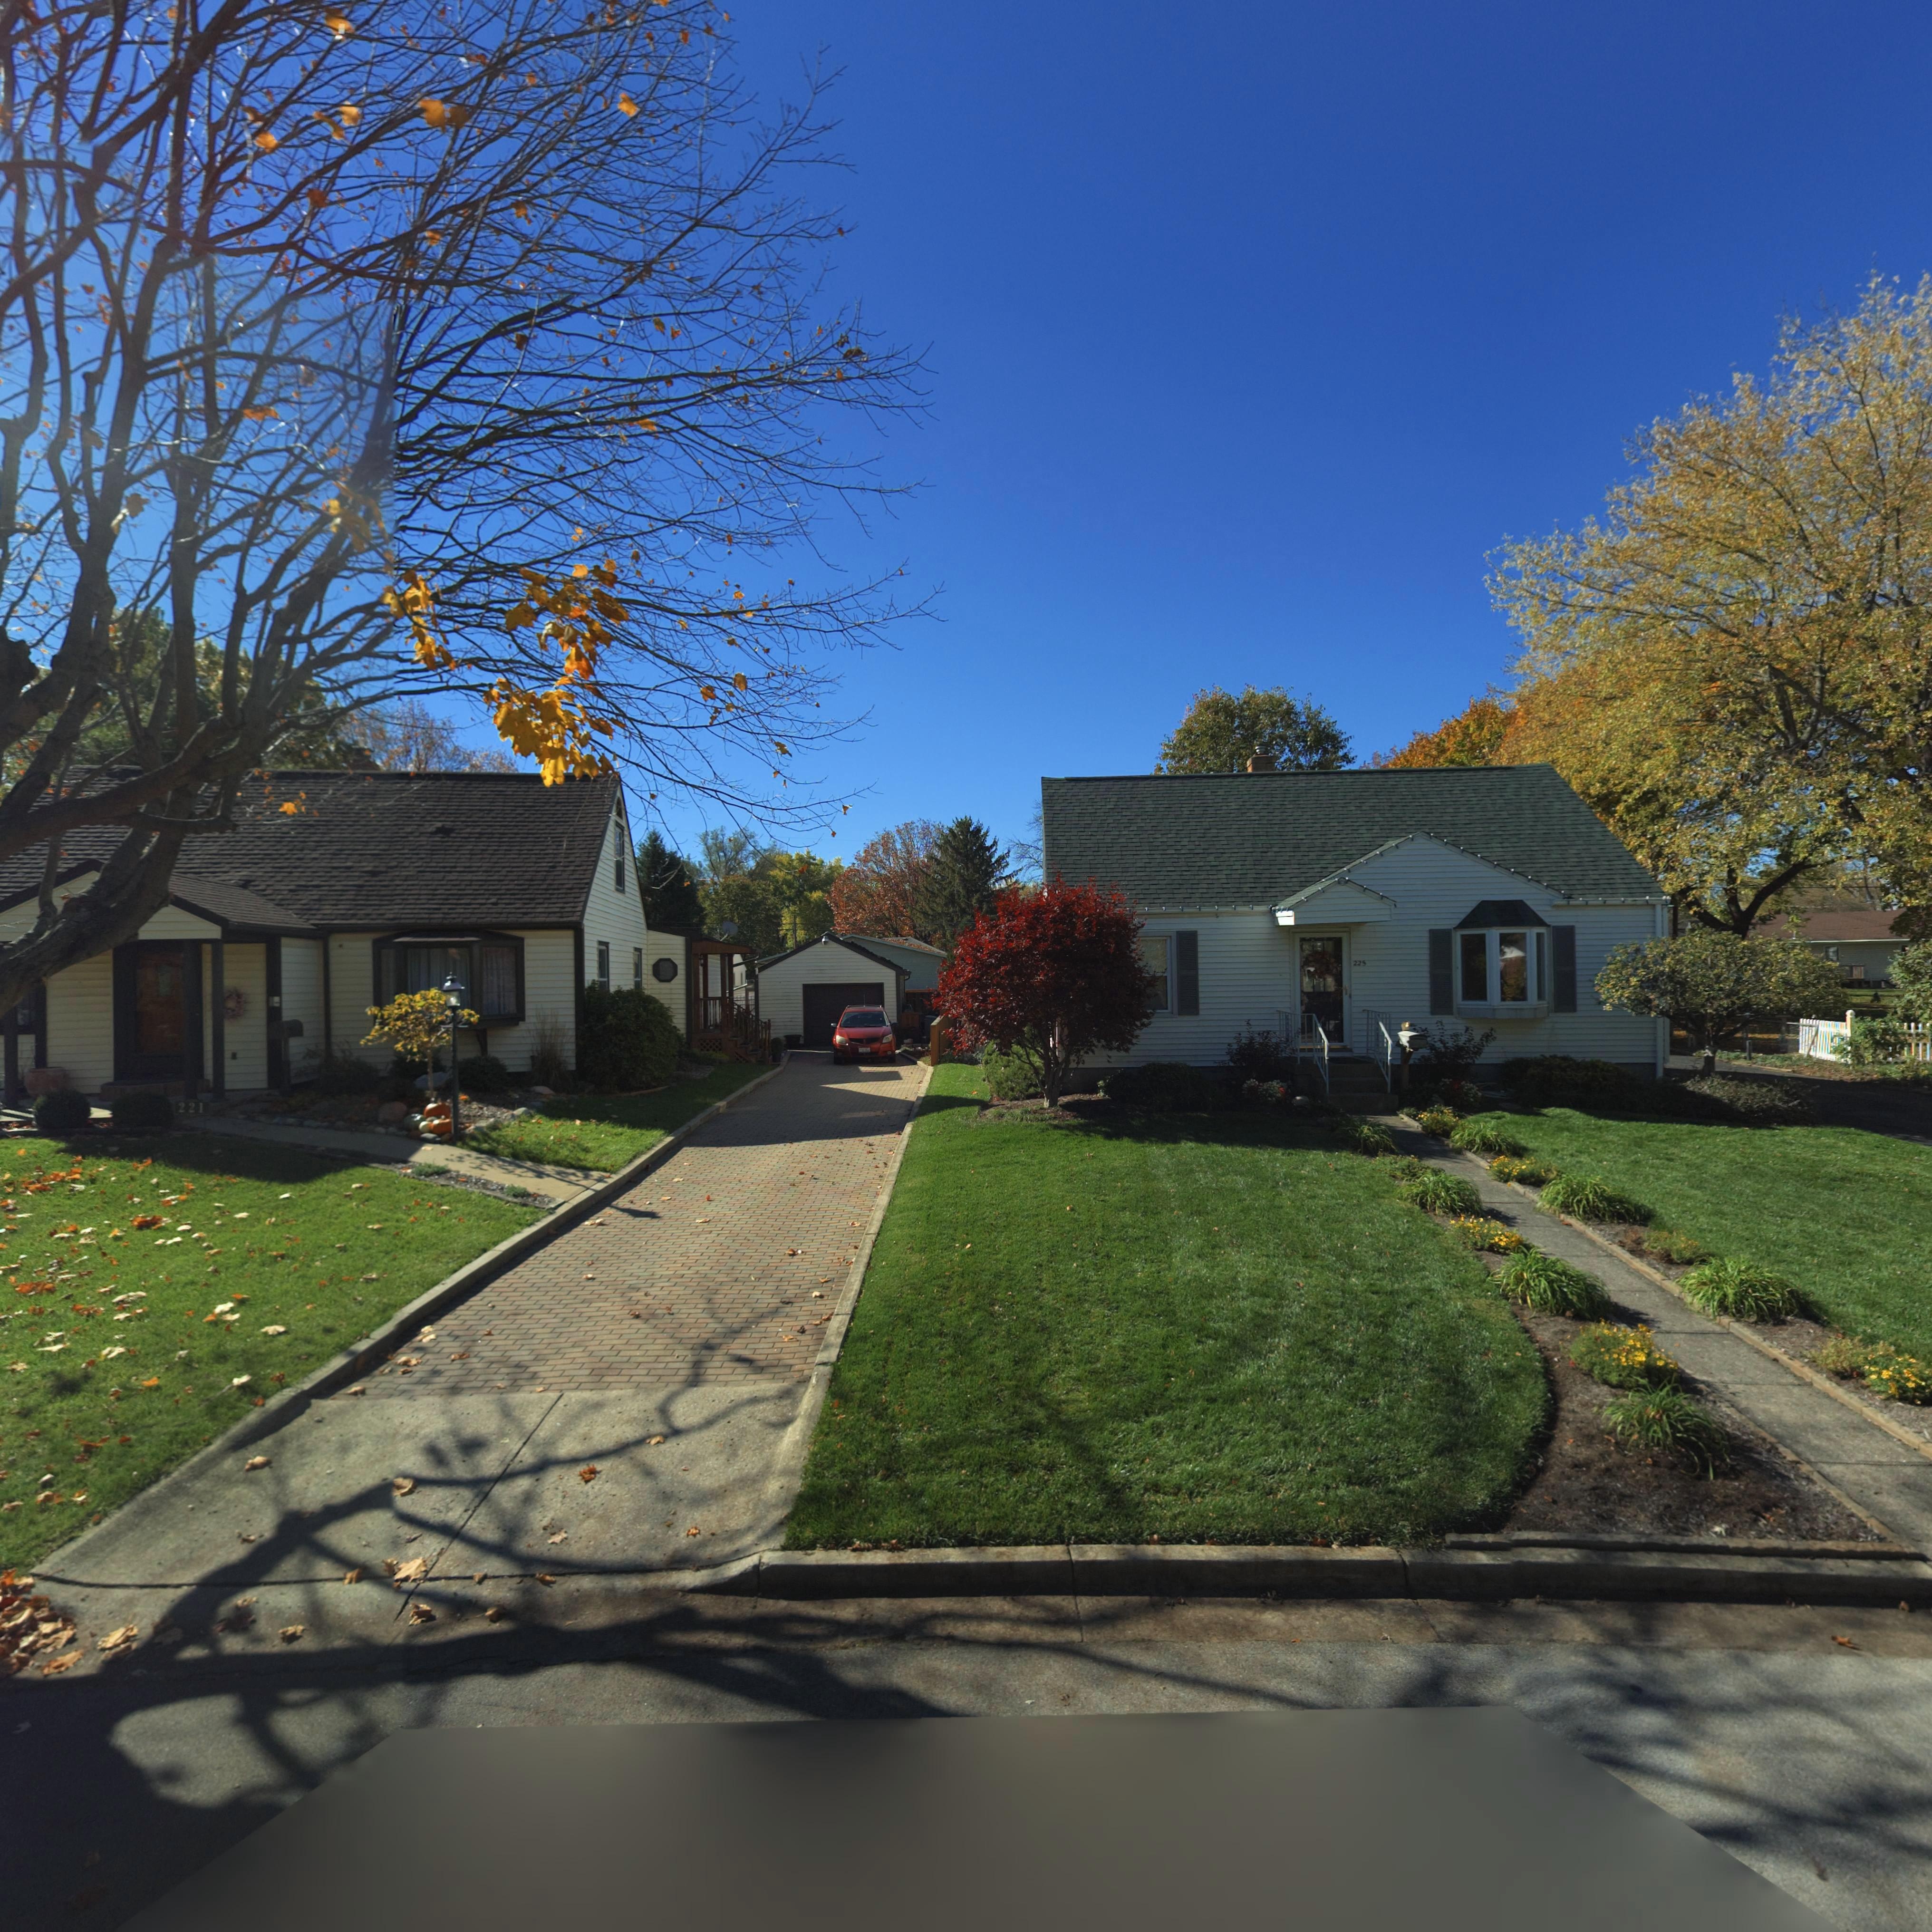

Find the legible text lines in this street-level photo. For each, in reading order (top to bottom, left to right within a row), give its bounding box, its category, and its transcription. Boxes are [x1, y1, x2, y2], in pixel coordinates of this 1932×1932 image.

[1352, 959, 1367, 967] StreetNumber: 225
[176, 1101, 205, 1114] StreetNumber: 221